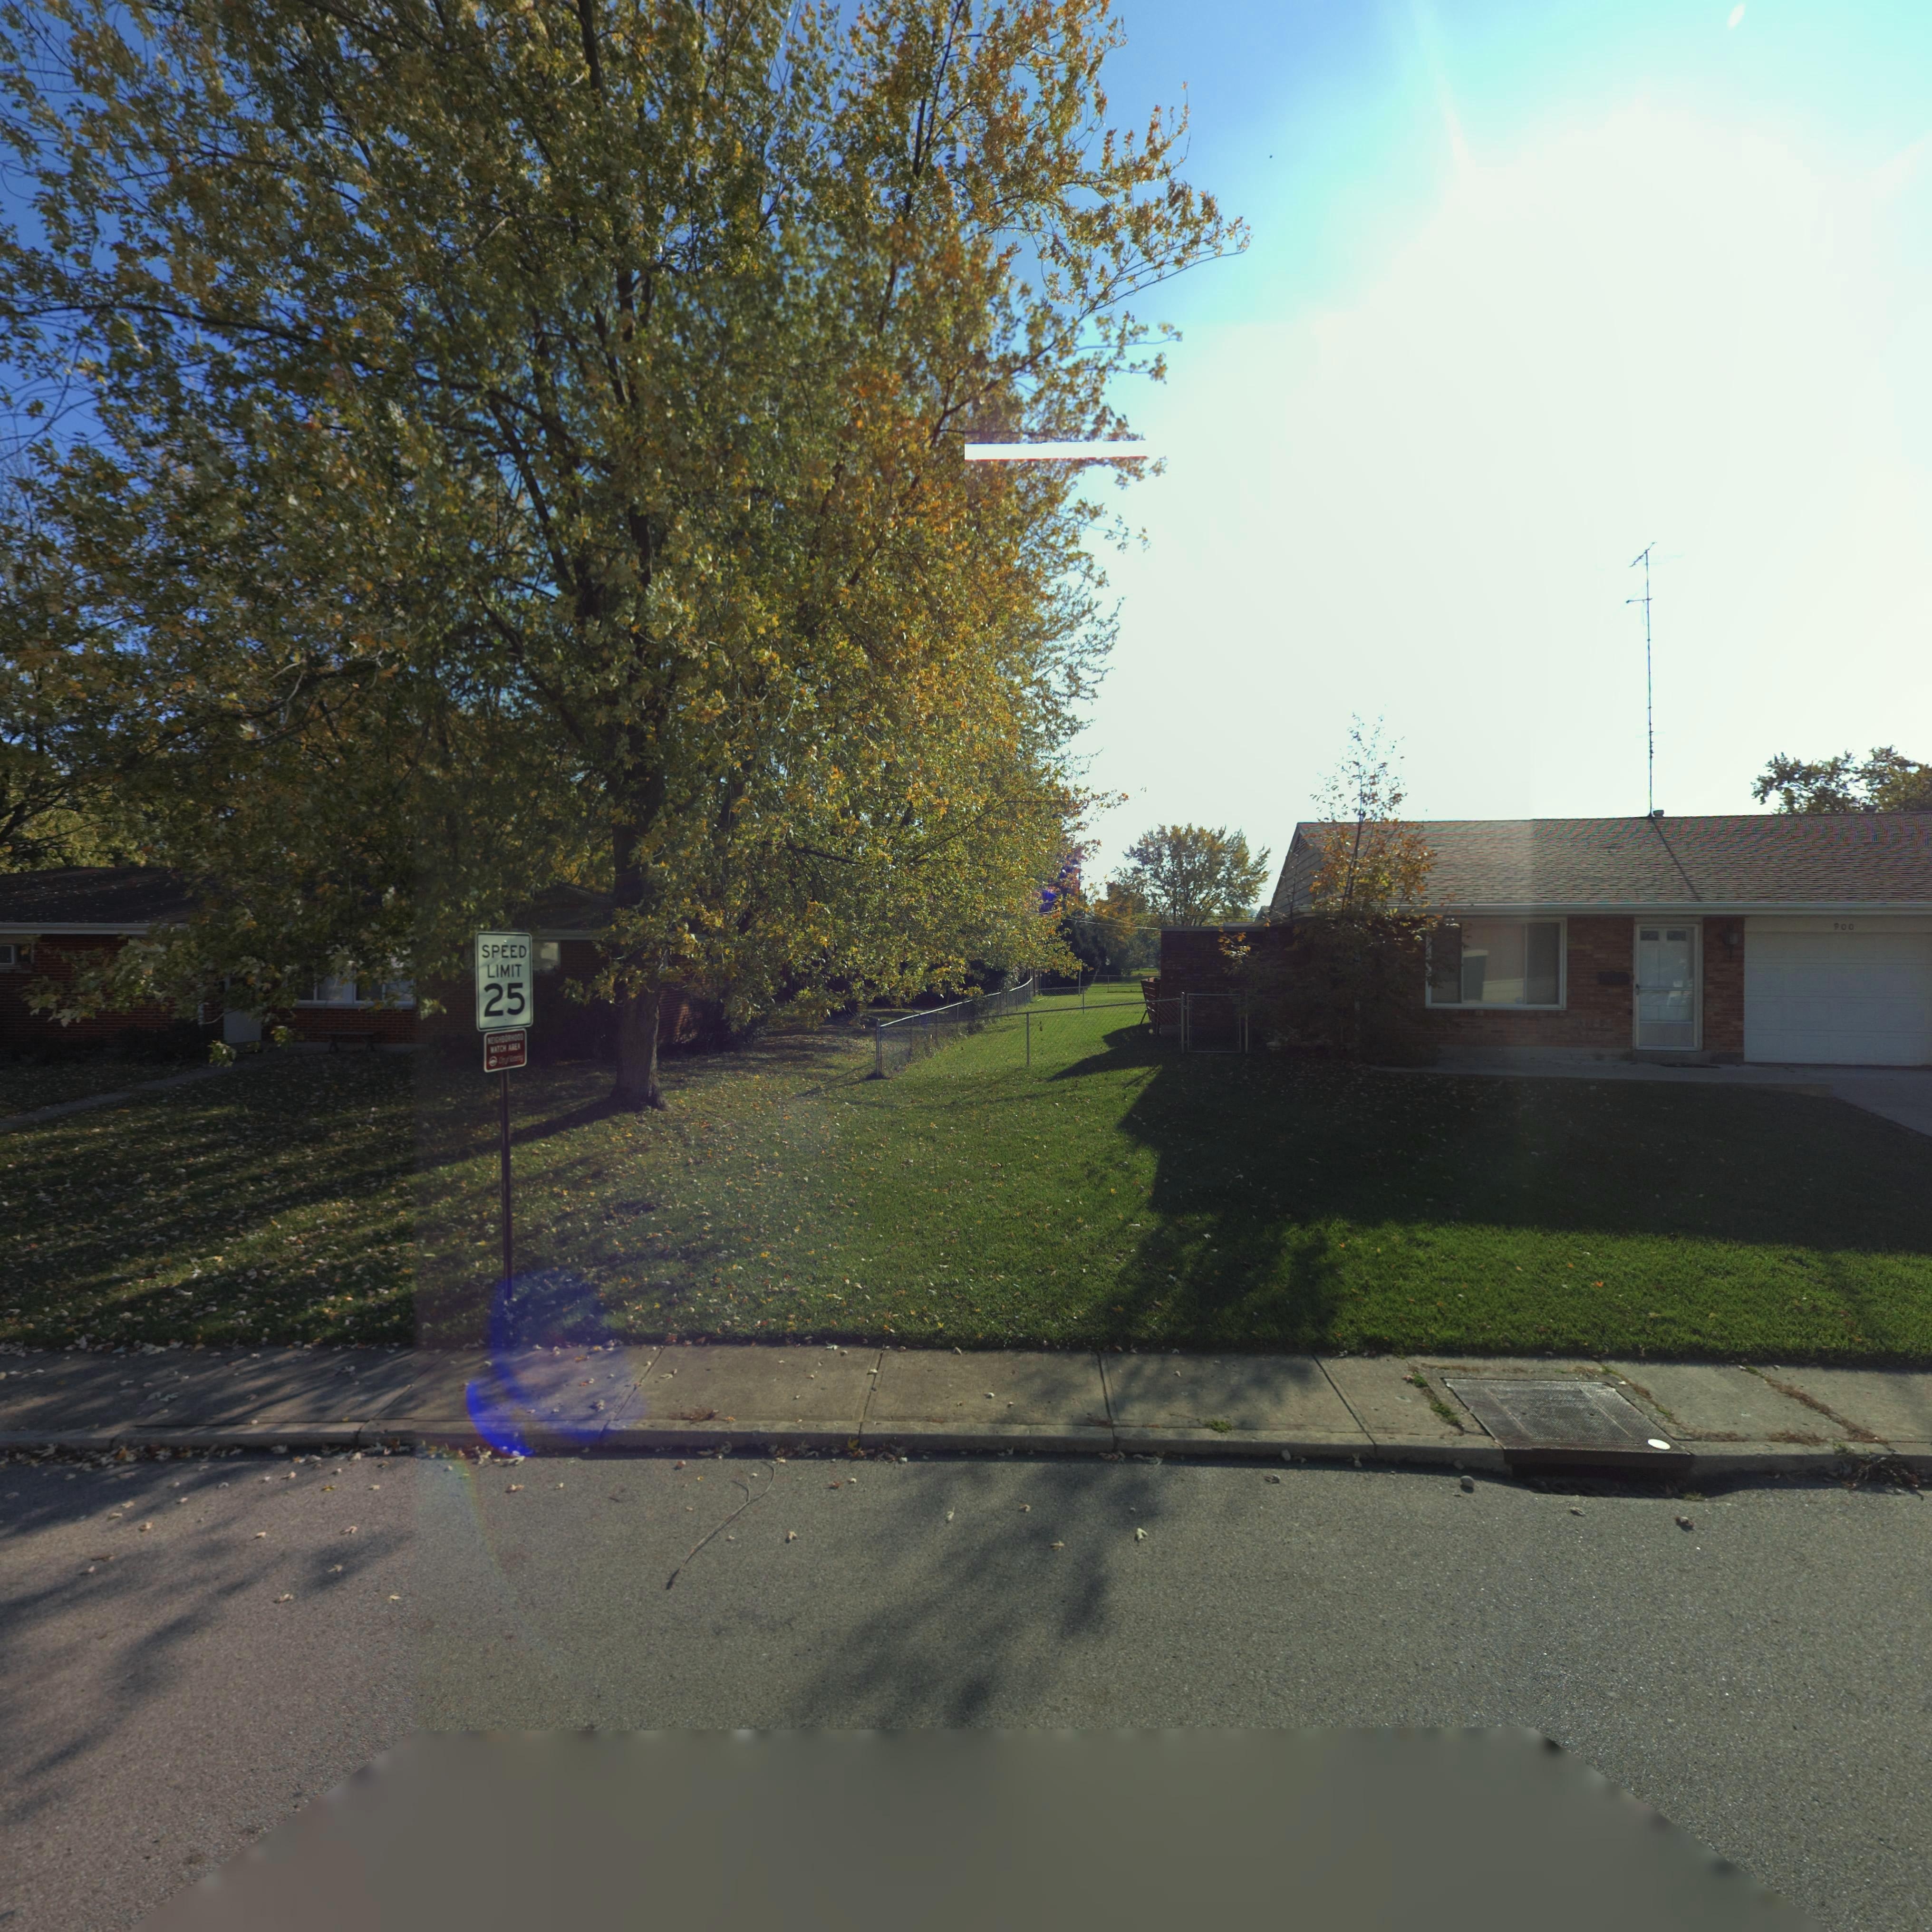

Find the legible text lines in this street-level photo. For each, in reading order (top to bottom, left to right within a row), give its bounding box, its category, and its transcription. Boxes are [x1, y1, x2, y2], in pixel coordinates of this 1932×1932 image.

[1832, 922, 1855, 931] StreetNumber: 900